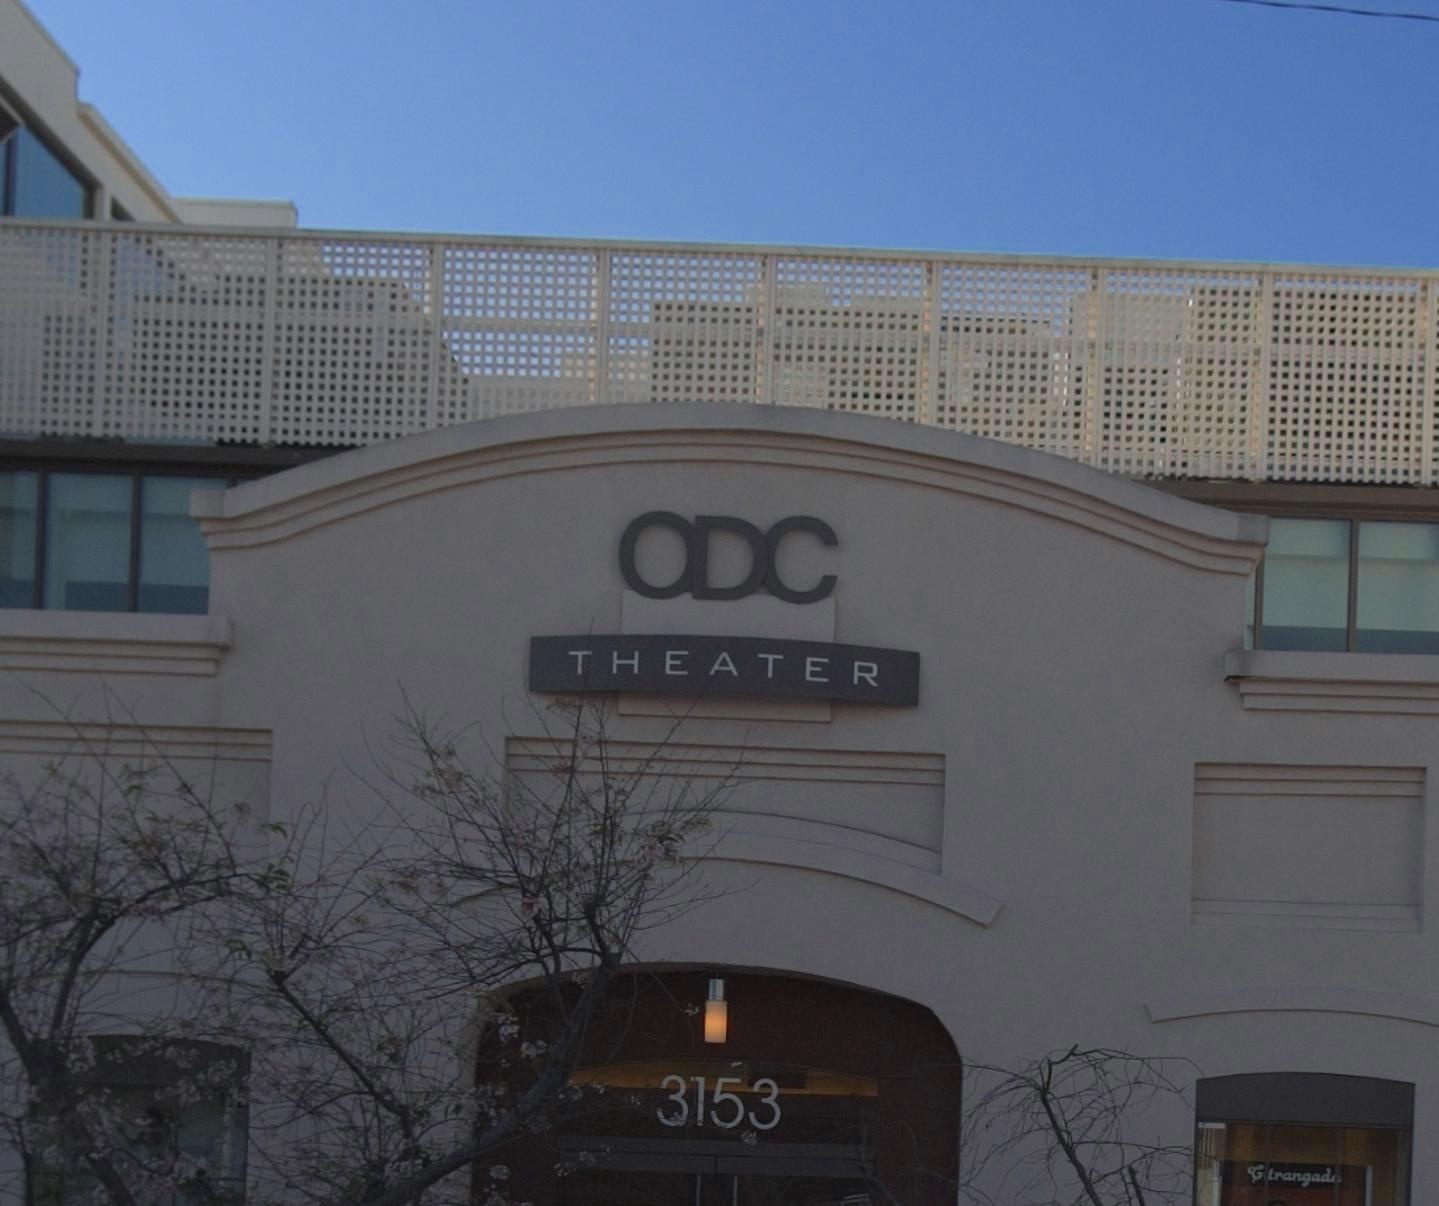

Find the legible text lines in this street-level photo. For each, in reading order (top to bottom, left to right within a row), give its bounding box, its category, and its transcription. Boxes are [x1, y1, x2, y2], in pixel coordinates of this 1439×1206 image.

[616, 508, 842, 605] BusinessName: ODC Theater
[563, 647, 880, 688] BusinessName: THEATER
[655, 1072, 782, 1132] StreetNumber: 3153
[1245, 1162, 1344, 1188] None: G*rangad*